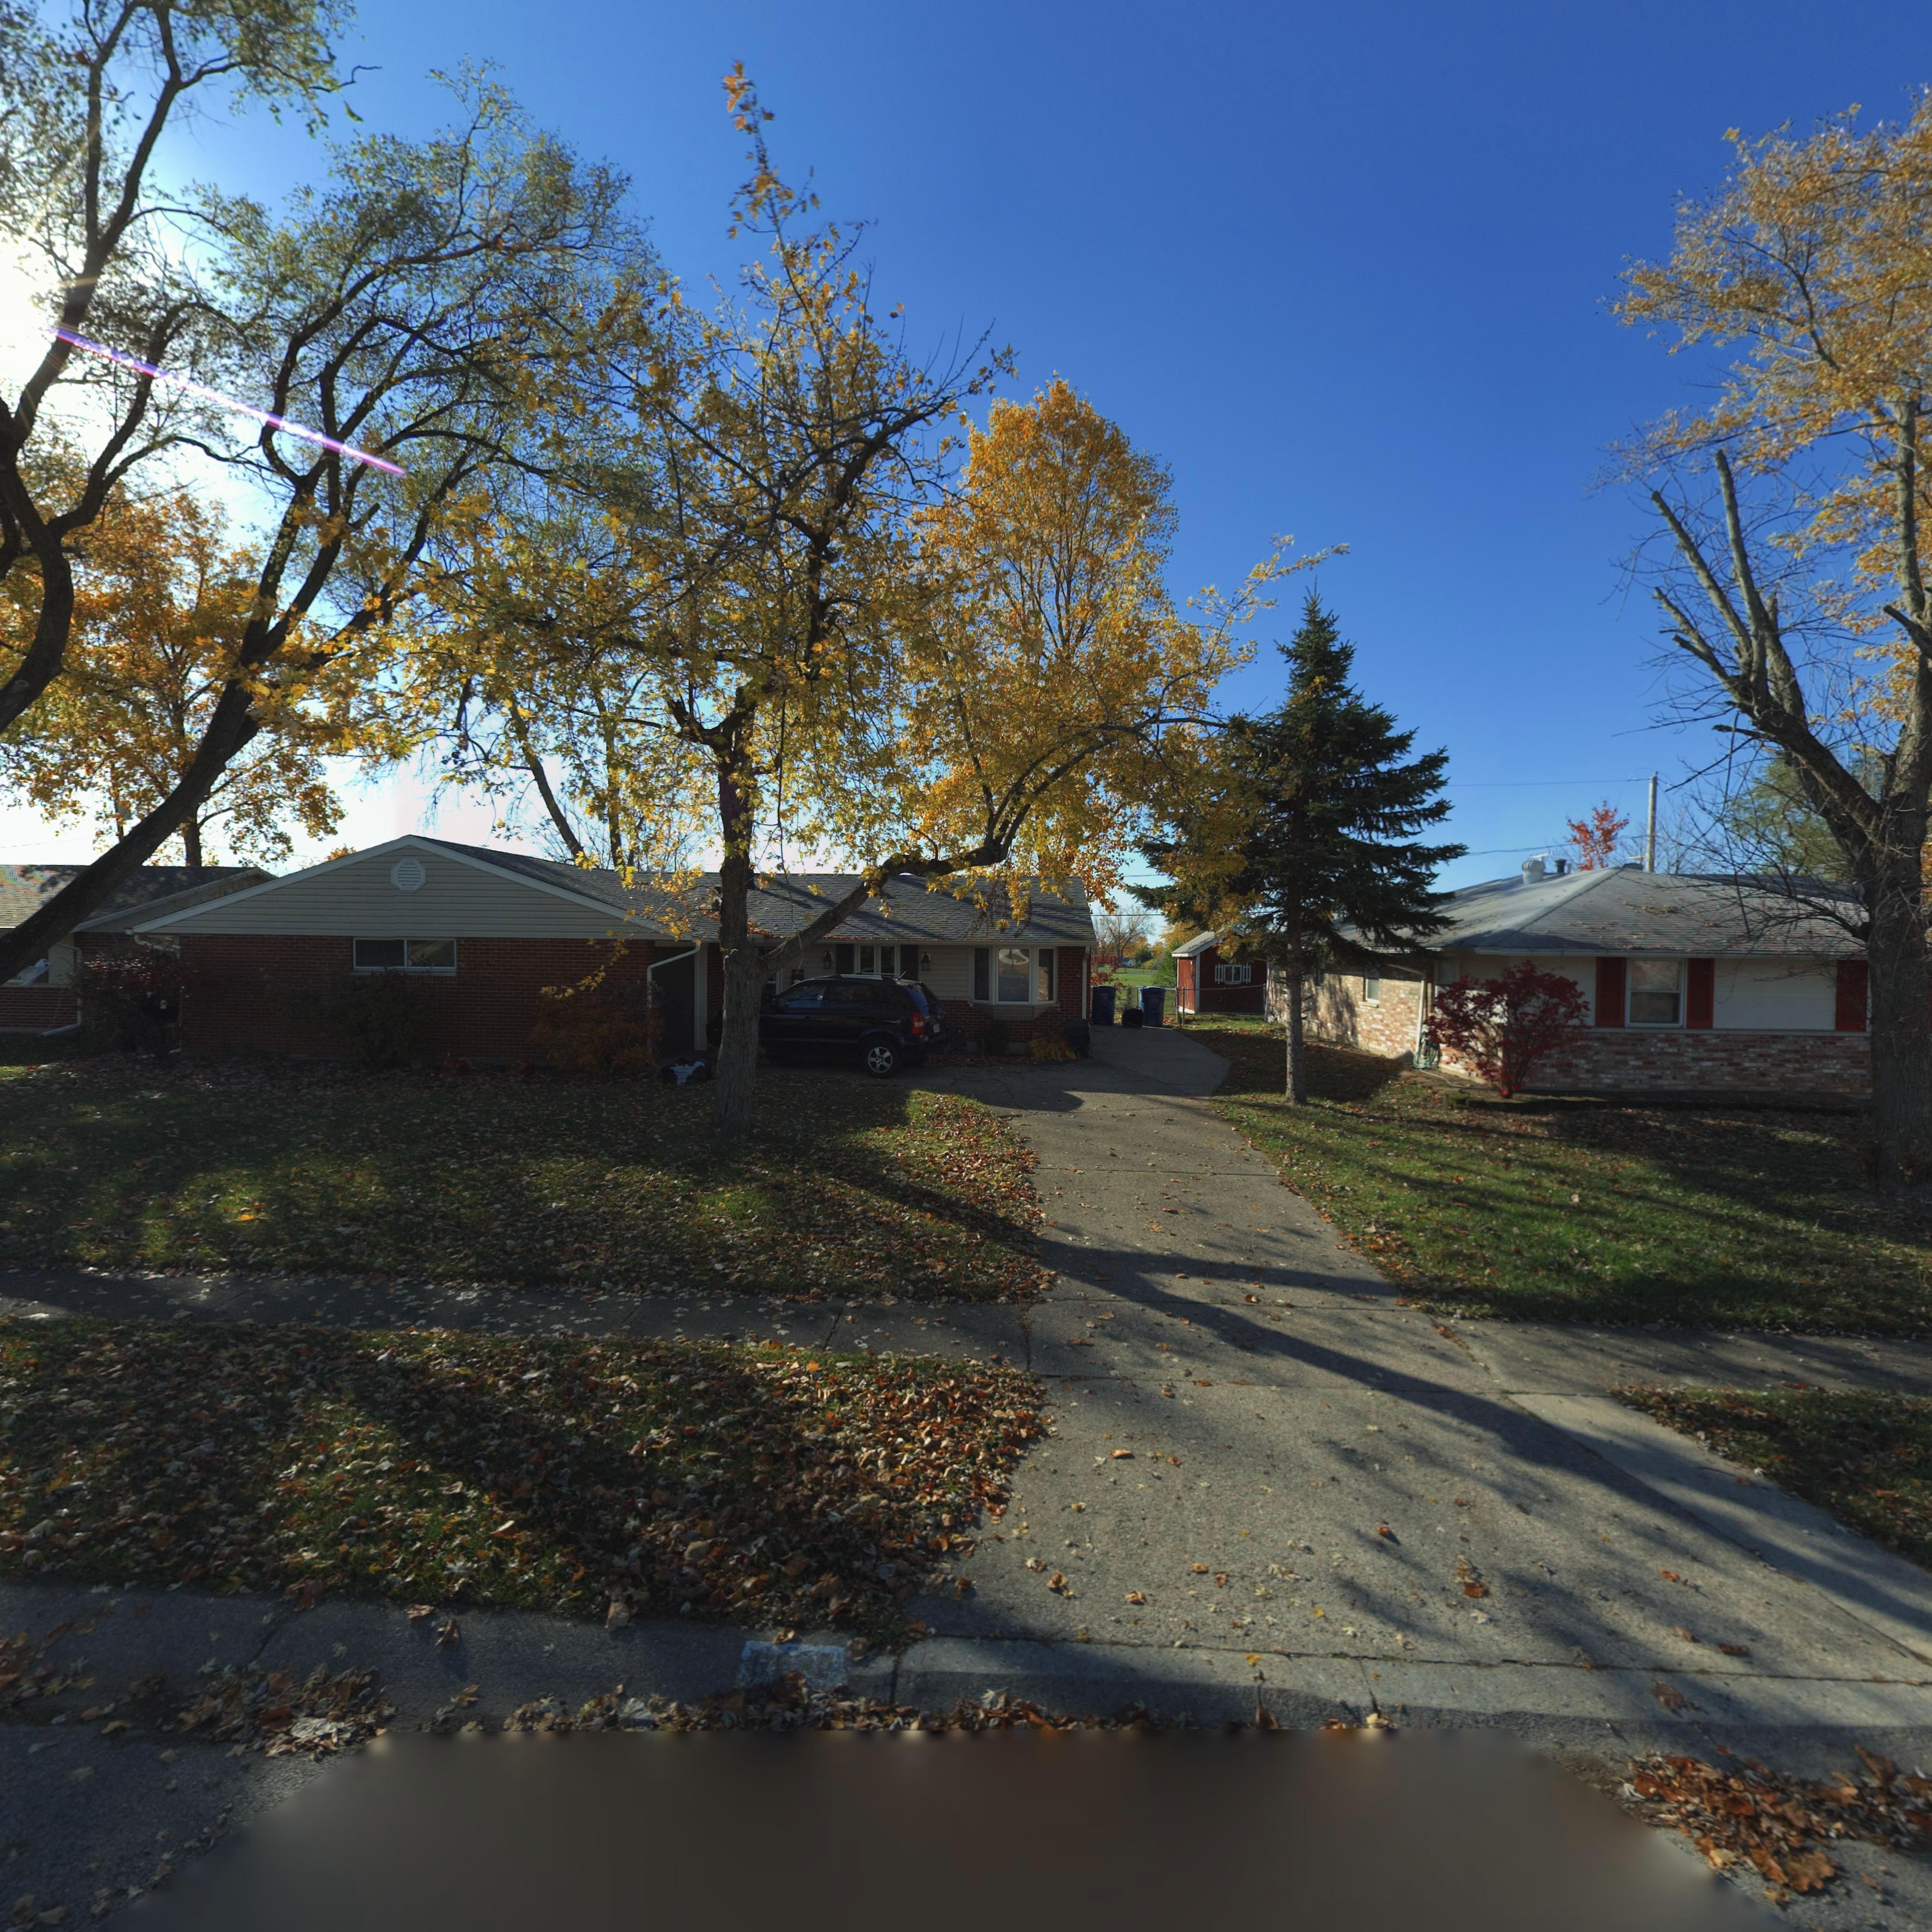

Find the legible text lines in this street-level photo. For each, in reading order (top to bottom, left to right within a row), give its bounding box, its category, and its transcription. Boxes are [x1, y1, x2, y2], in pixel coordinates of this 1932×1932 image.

[748, 1650, 773, 1680] StreetNumber: 6